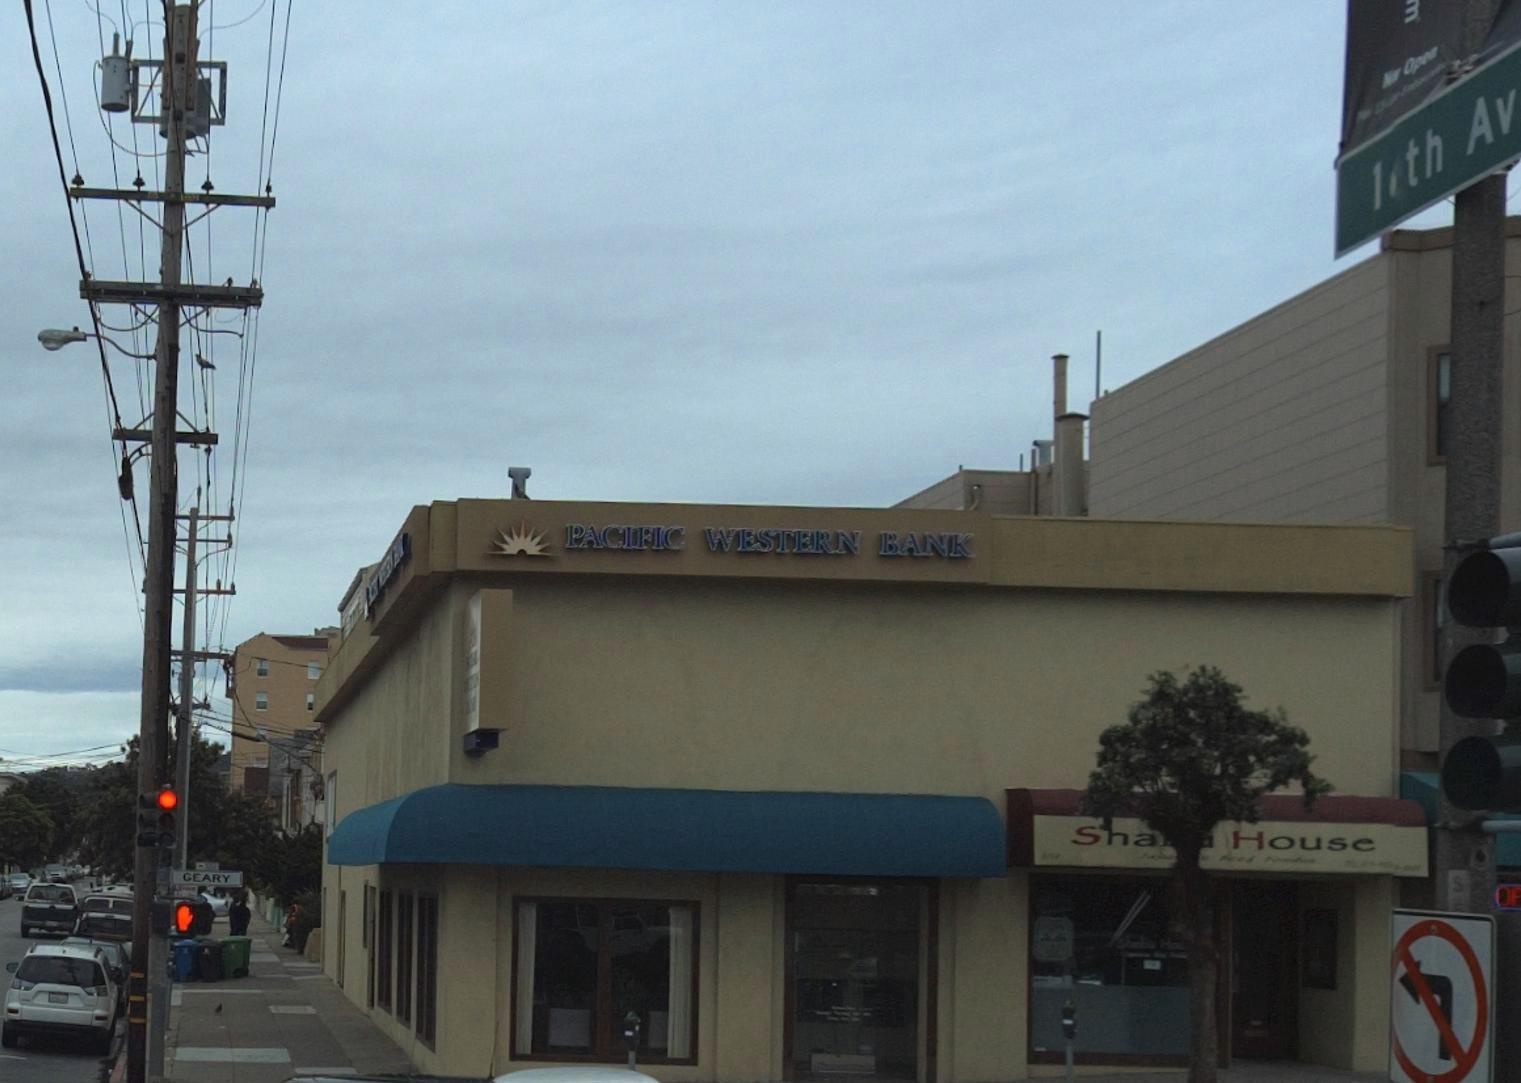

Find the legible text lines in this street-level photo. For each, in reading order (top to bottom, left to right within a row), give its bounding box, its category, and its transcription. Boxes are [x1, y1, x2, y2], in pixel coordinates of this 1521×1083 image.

[1401, 40, 1441, 79] None: OP**
[1369, 84, 1520, 219] StreetName: 1*th Av
[561, 520, 977, 561] BusinessName: PACIFIC WESTERN BANK
[1066, 822, 1379, 855] BusinessName: Sha** House
[180, 871, 233, 885] StreetName: GEARY
[1450, 873, 1466, 895] None: S
[1492, 883, 1513, 909] None: O